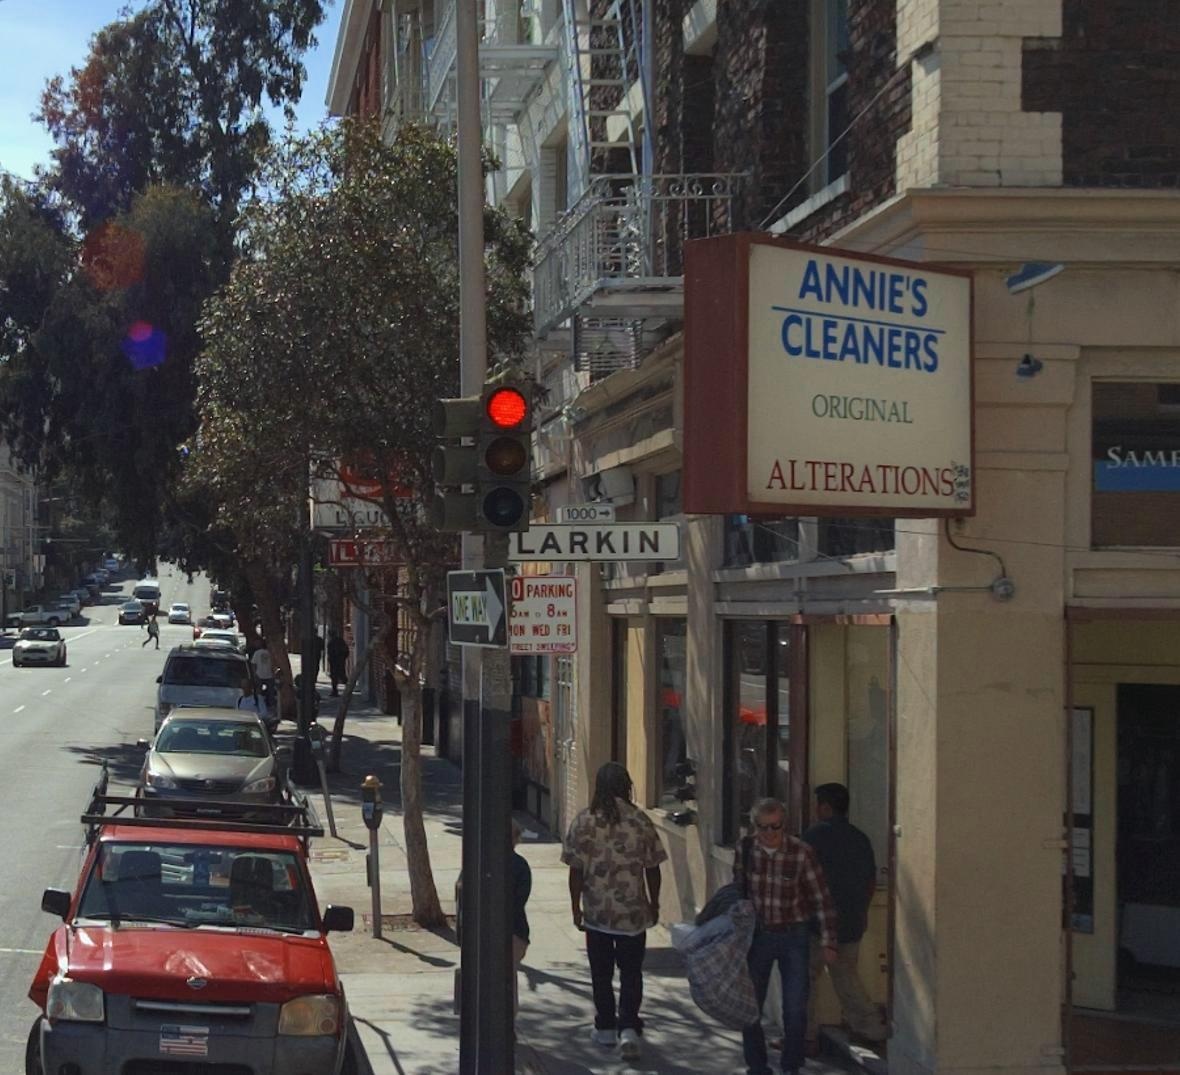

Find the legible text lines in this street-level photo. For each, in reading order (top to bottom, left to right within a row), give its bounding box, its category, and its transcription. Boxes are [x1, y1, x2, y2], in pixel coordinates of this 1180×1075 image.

[793, 256, 932, 320] BusinessName: ANNIE'S
[778, 311, 942, 376] BusinessName: CLEANERS
[809, 390, 916, 426] None: ORIGINAL
[1103, 443, 1171, 474] BusinessName: SAM
[763, 455, 957, 498] None: ALTERATIONS
[333, 508, 381, 526] None: L**U
[564, 506, 613, 522] StreetNumberRange: 1000->
[338, 543, 356, 563] None: L
[515, 528, 662, 557] StreetName: LARKIN > [1000]
[510, 577, 576, 600] None: O PARKING
[451, 592, 490, 625] None: O*E WAY
[544, 601, 558, 620] None: 8
[511, 621, 573, 639] None: ON WED FRI